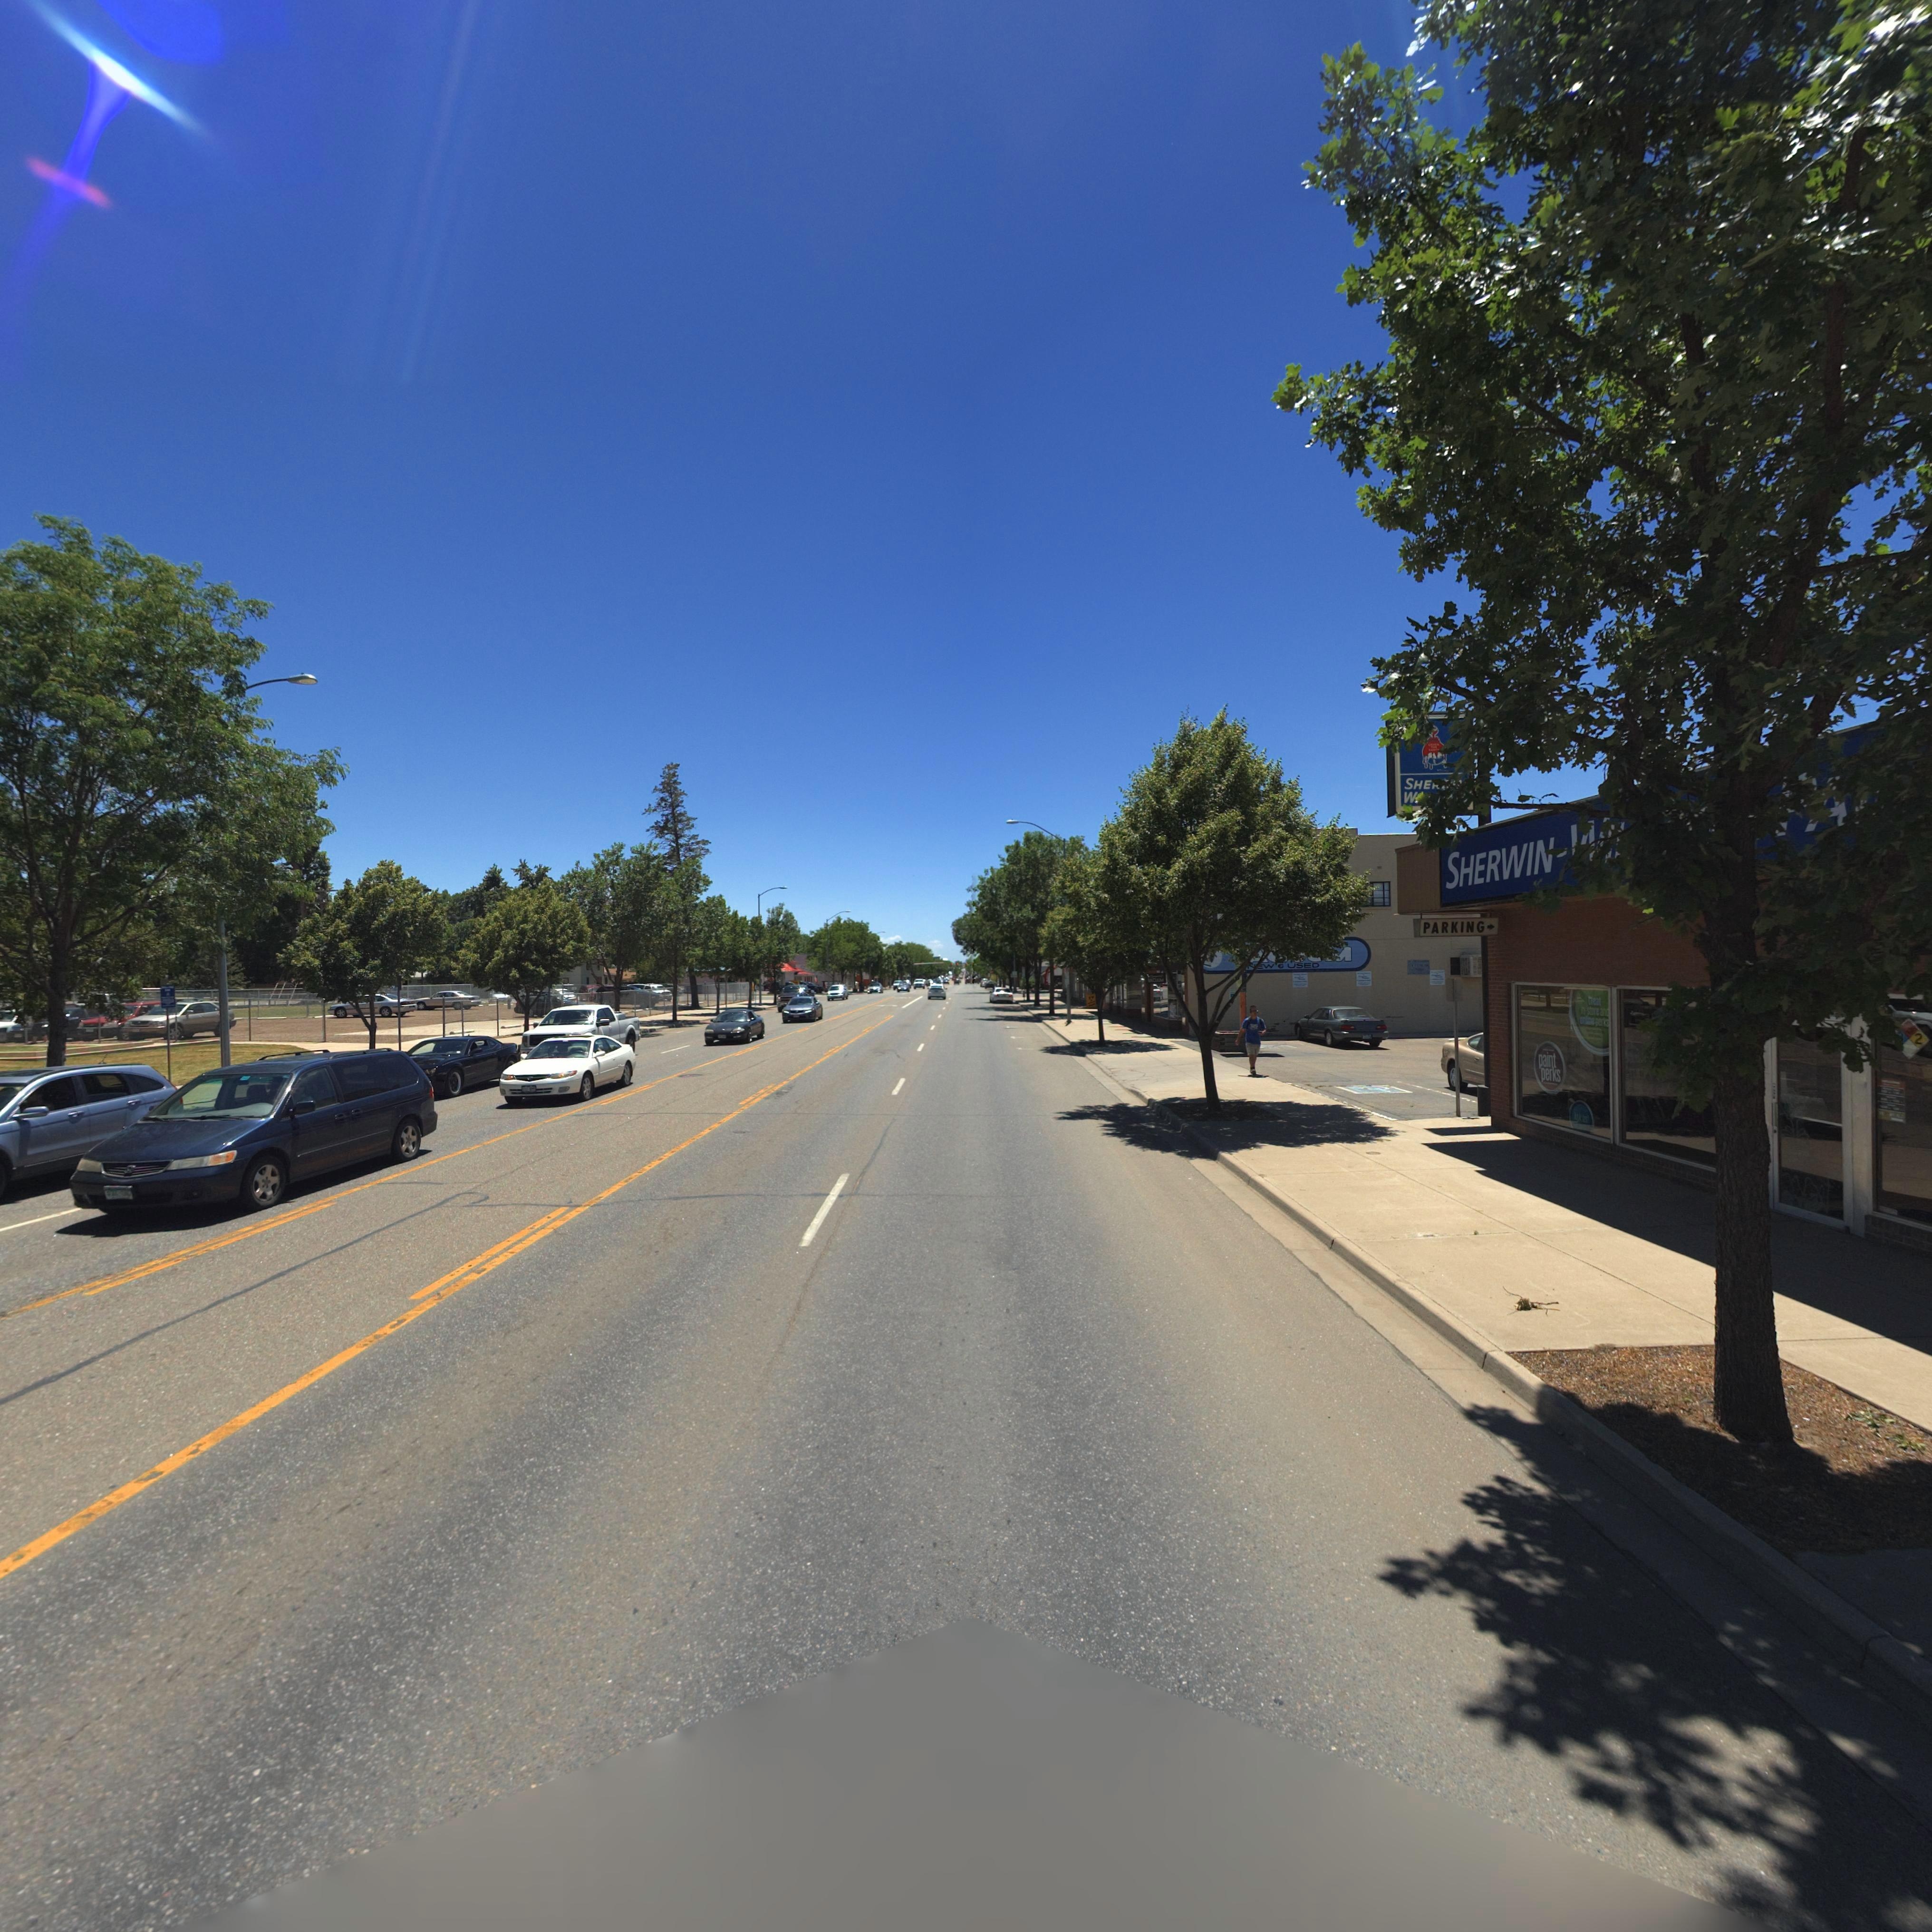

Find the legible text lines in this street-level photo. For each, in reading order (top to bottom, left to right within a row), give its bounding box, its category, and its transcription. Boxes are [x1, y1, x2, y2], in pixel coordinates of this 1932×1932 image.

[1404, 777, 1464, 791] BusinessName: SHER***
[1404, 791, 1418, 803] BusinessName: W
[1445, 768, 1855, 889] BusinessName: SHERWIN WI****** PA